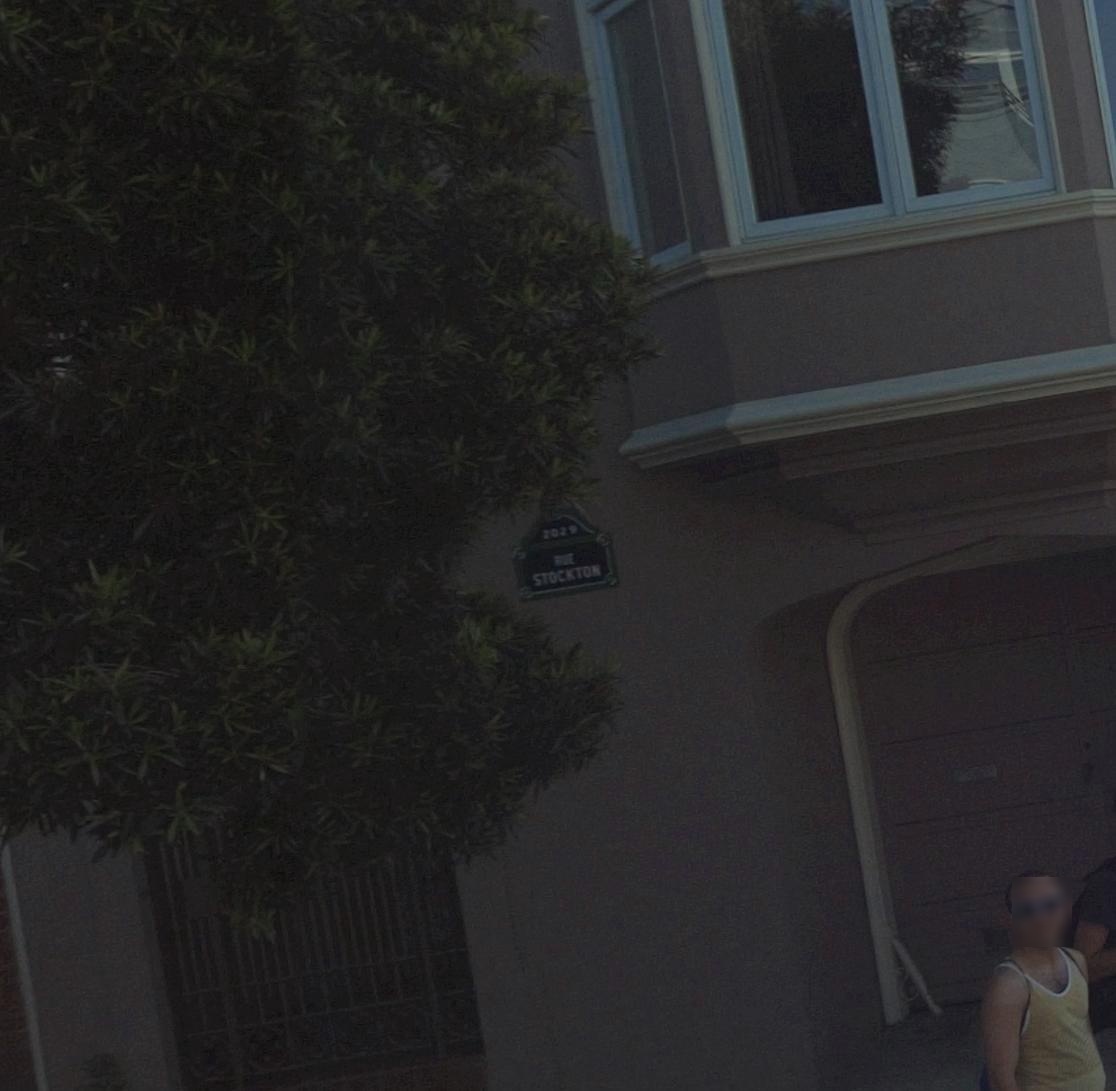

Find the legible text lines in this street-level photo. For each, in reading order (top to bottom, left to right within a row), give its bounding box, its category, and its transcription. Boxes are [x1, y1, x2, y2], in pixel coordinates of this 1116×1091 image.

[540, 521, 580, 542] StreetNumber: 2029
[530, 561, 603, 589] None: STOCKTON